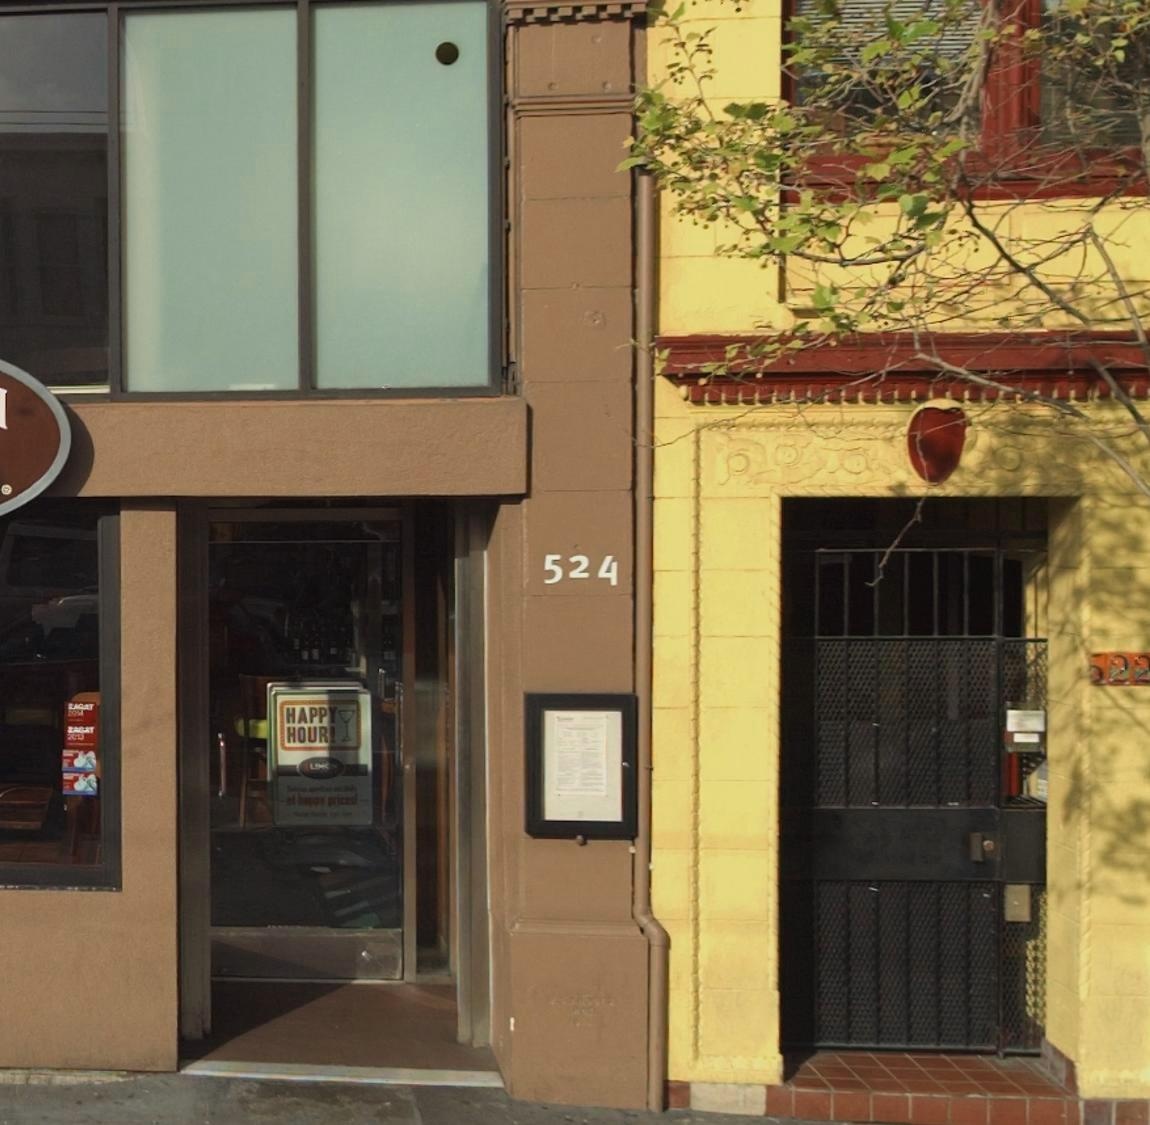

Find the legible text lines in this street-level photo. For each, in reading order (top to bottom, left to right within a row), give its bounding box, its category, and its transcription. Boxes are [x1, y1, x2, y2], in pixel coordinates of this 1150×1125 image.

[543, 553, 620, 588] StreetNumber: 524
[1090, 652, 1148, 684] StreetNumber: 522
[286, 706, 336, 723] None: HAPPY
[65, 724, 94, 732] None: ZAGAT
[286, 724, 330, 742] None: HOUR
[296, 790, 325, 807] None: happy
[327, 791, 357, 806] None: priced